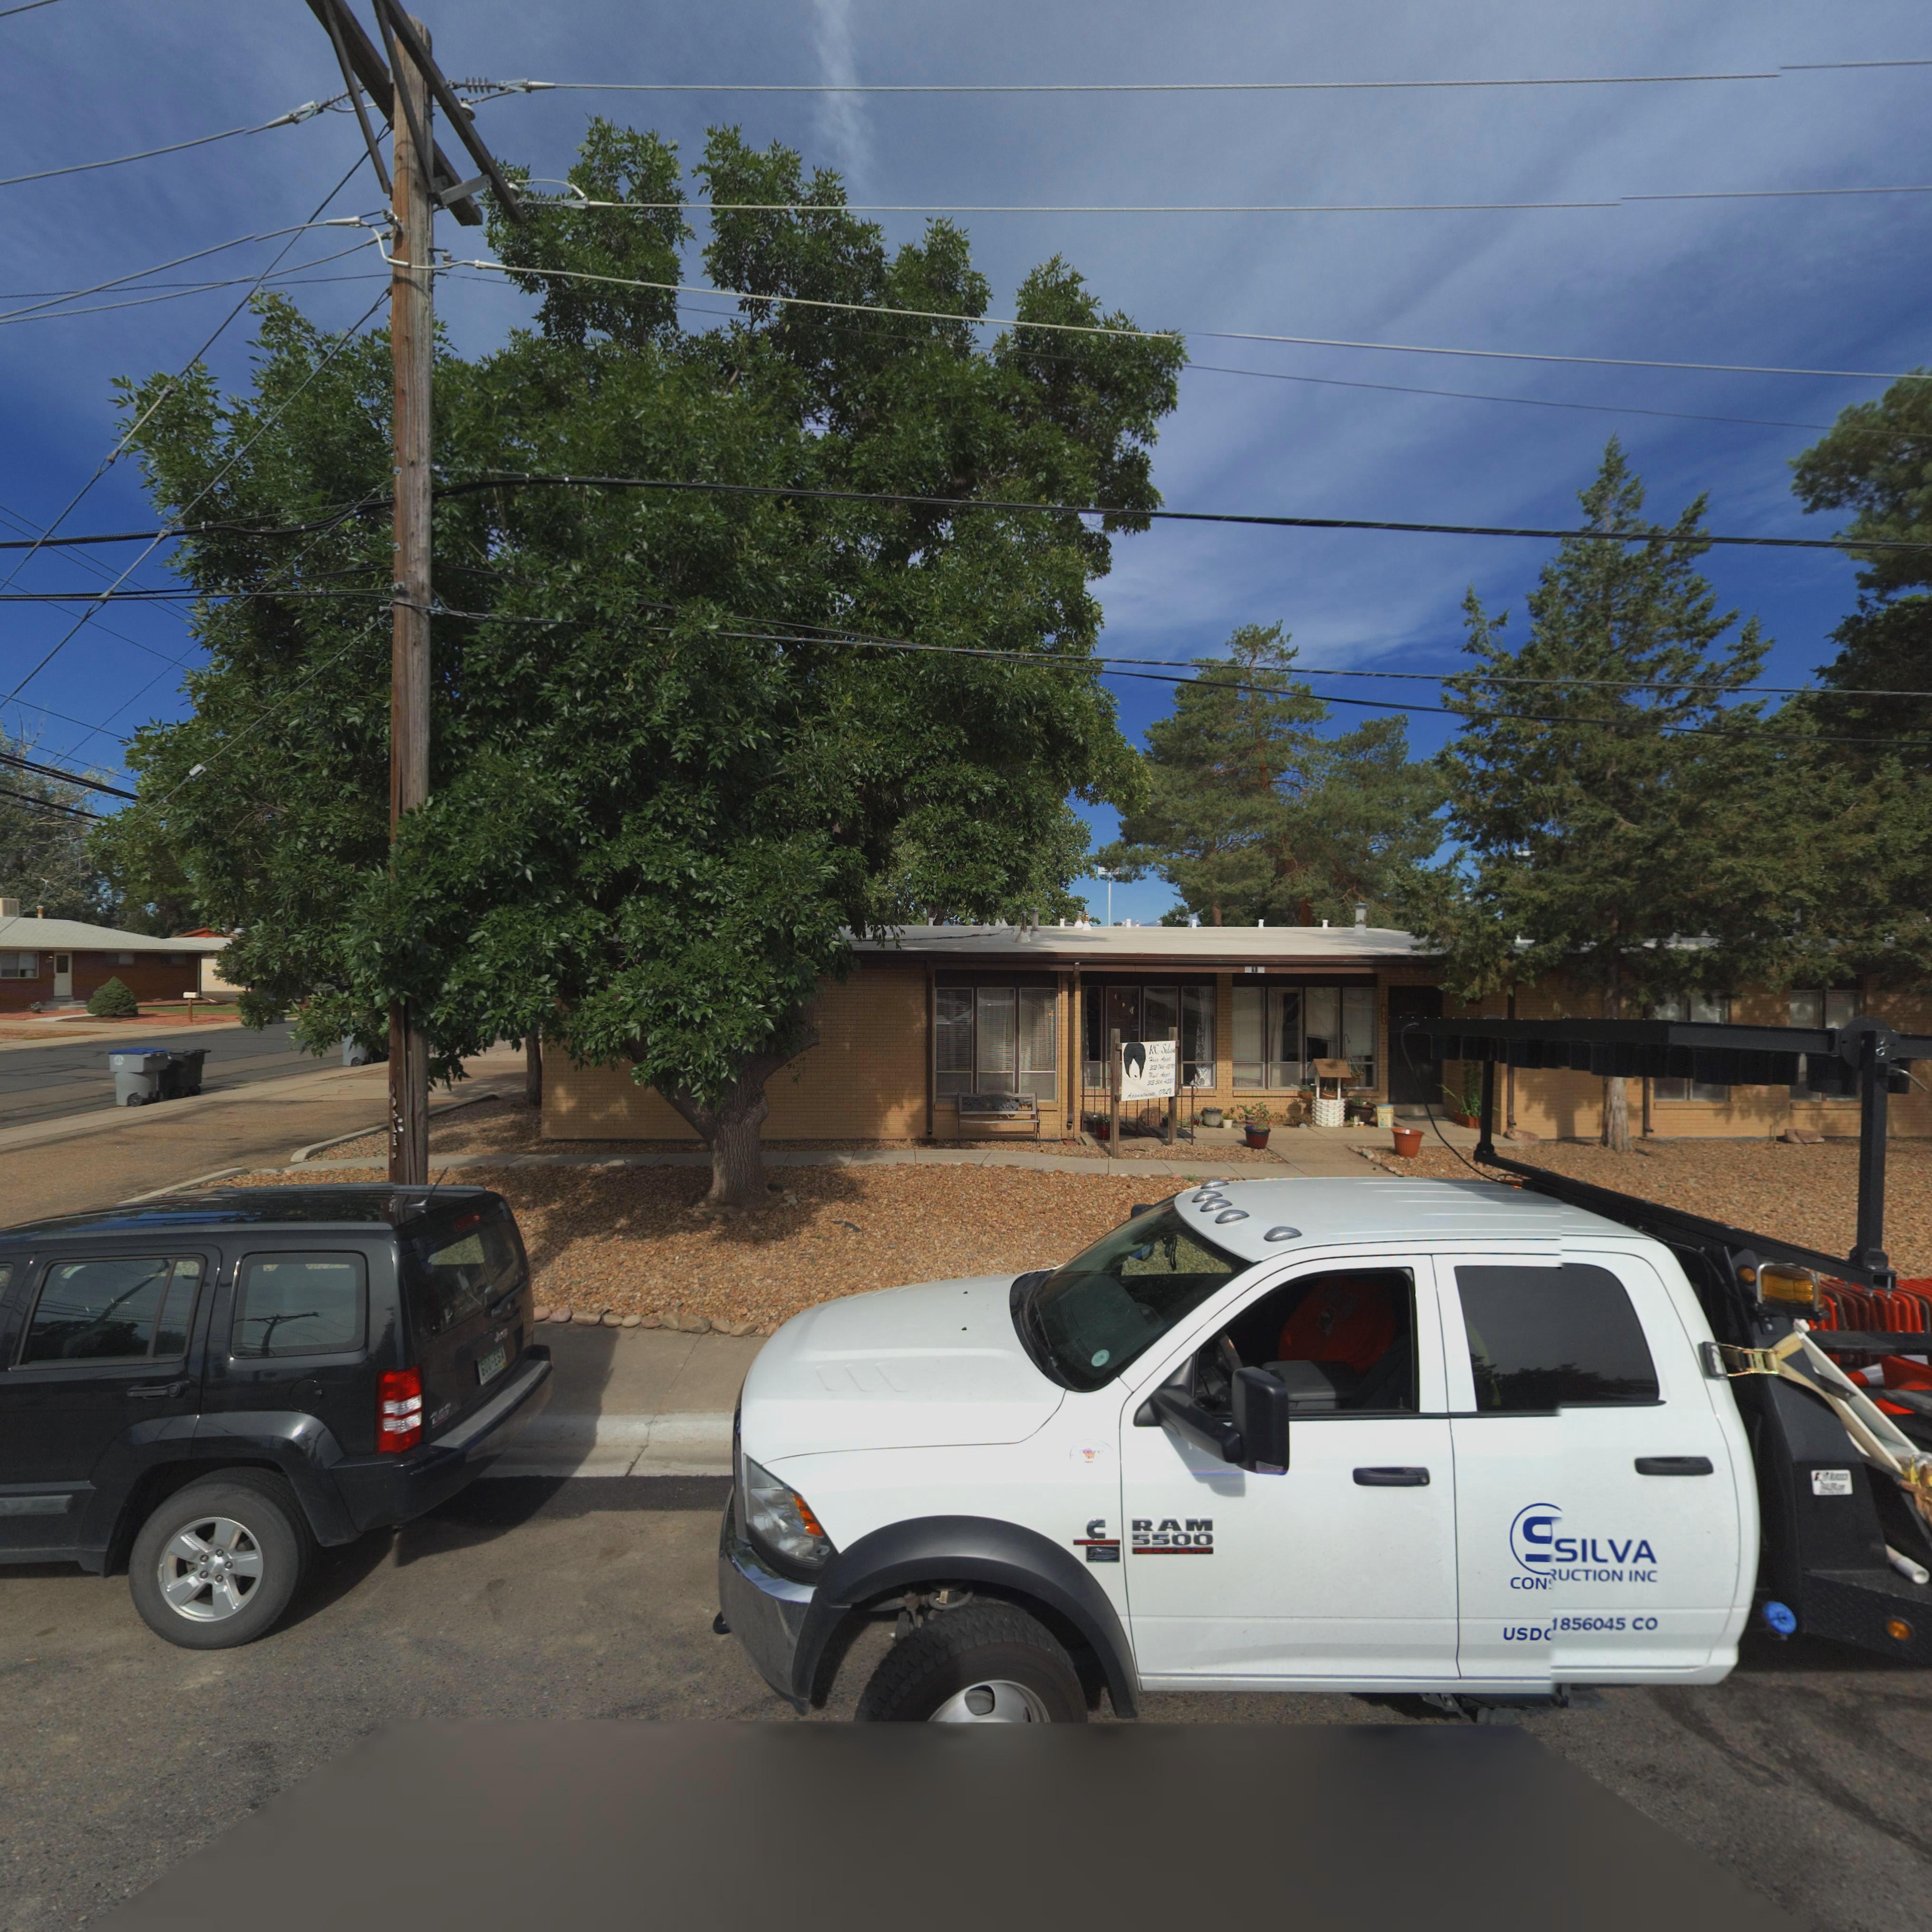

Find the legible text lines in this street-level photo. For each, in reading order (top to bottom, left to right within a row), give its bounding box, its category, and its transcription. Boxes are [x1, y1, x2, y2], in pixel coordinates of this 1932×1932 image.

[1244, 965, 1264, 973] StreetNumber: 615
[1148, 1043, 1176, 1055] BusinessName: KC Salon